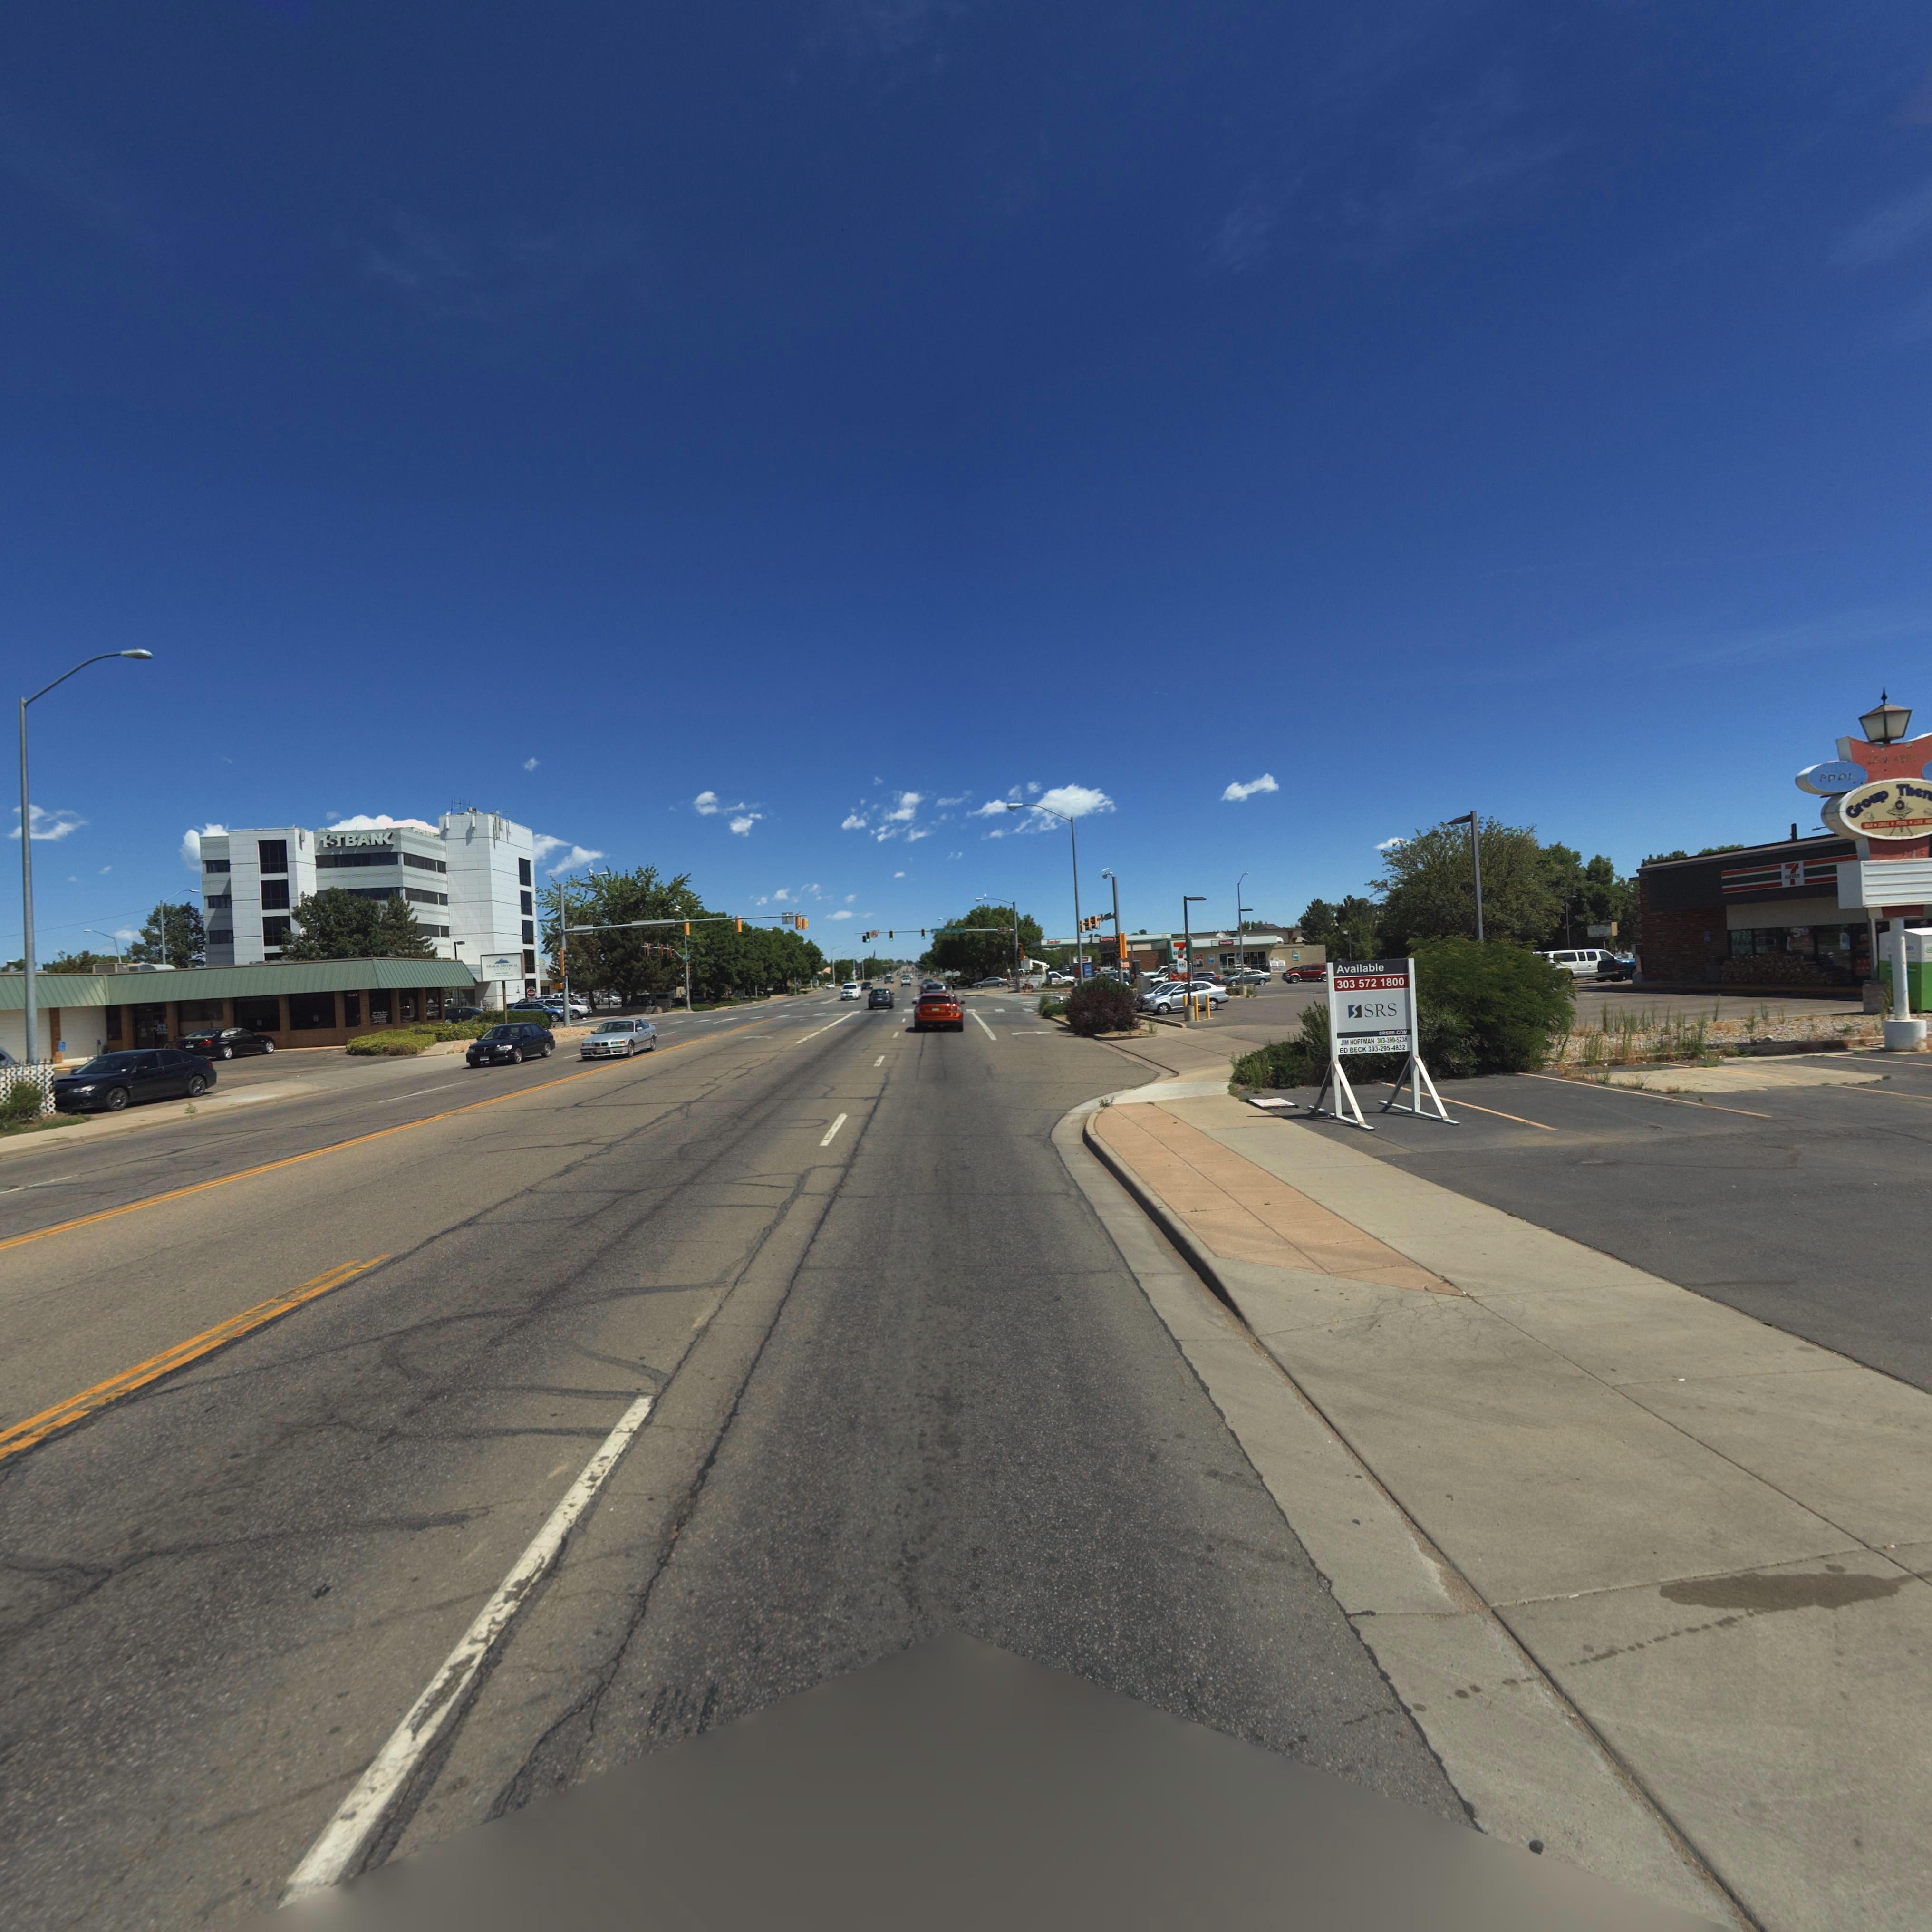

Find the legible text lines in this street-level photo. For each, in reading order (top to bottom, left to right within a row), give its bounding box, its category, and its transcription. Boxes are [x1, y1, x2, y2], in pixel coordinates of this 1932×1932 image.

[319, 831, 394, 848] BusinessName: 1S*BAN*
[1783, 862, 1799, 886] BusinessName: 7
[1784, 873, 1800, 879] BusinessName: *****n
[1046, 939, 1061, 944] BusinessName: S**cl***
[1100, 937, 1113, 942] BusinessName: ***d***
[1219, 940, 1233, 945] BusinessName: ***d**y
[1173, 950, 1186, 955] BusinessName: *L*V**
[1173, 942, 1187, 958] BusinessName: 7
[485, 963, 517, 968] BusinessName: M*** M****
[347, 993, 358, 997] StreetNumber: 1**9